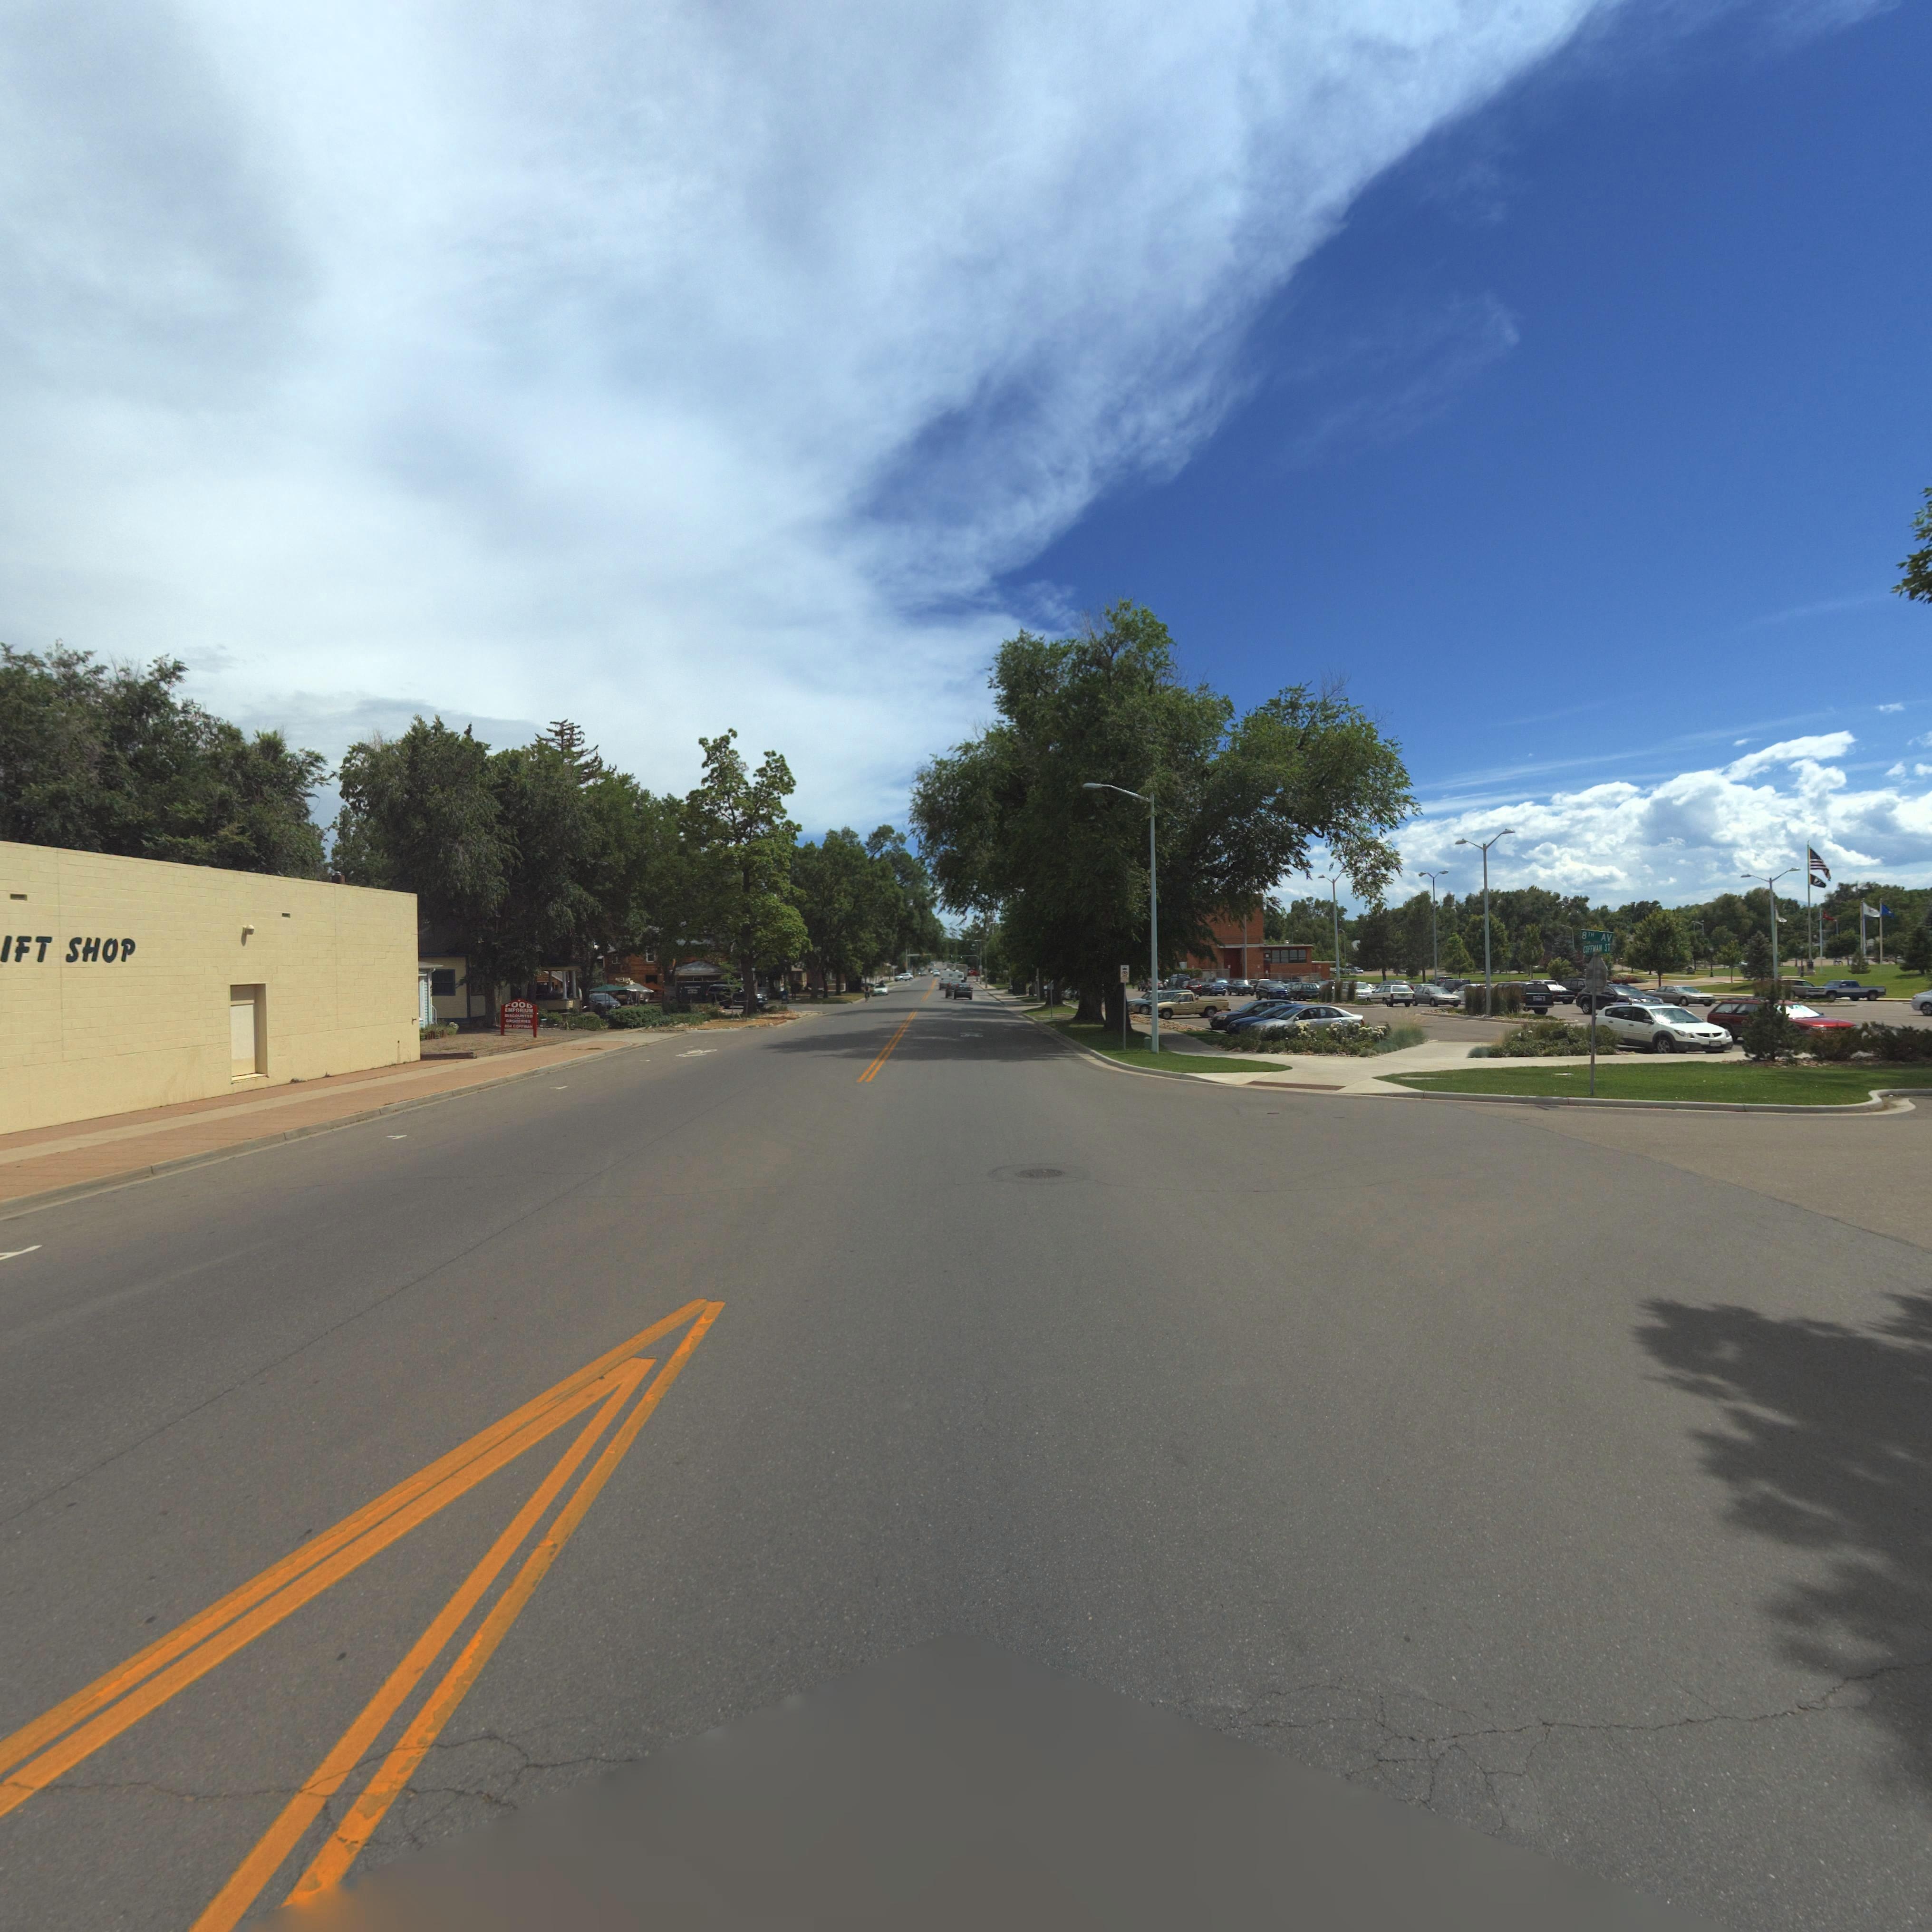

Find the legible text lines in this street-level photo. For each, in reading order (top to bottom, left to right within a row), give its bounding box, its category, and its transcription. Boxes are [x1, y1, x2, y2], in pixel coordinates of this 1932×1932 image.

[1581, 931, 1612, 942] StreetName: 8TH AV
[0, 935, 135, 962] BusinessName: ***IFT SHOP
[1583, 943, 1610, 953] StreetName: COFFMAN ST
[505, 1002, 533, 1008] BusinessName: FOOD
[504, 1008, 533, 1012] BusinessName: EMPORIUM
[504, 1024, 512, 1027] StreetNumber: *04
[513, 1024, 533, 1028] StreetName: COFFMAN